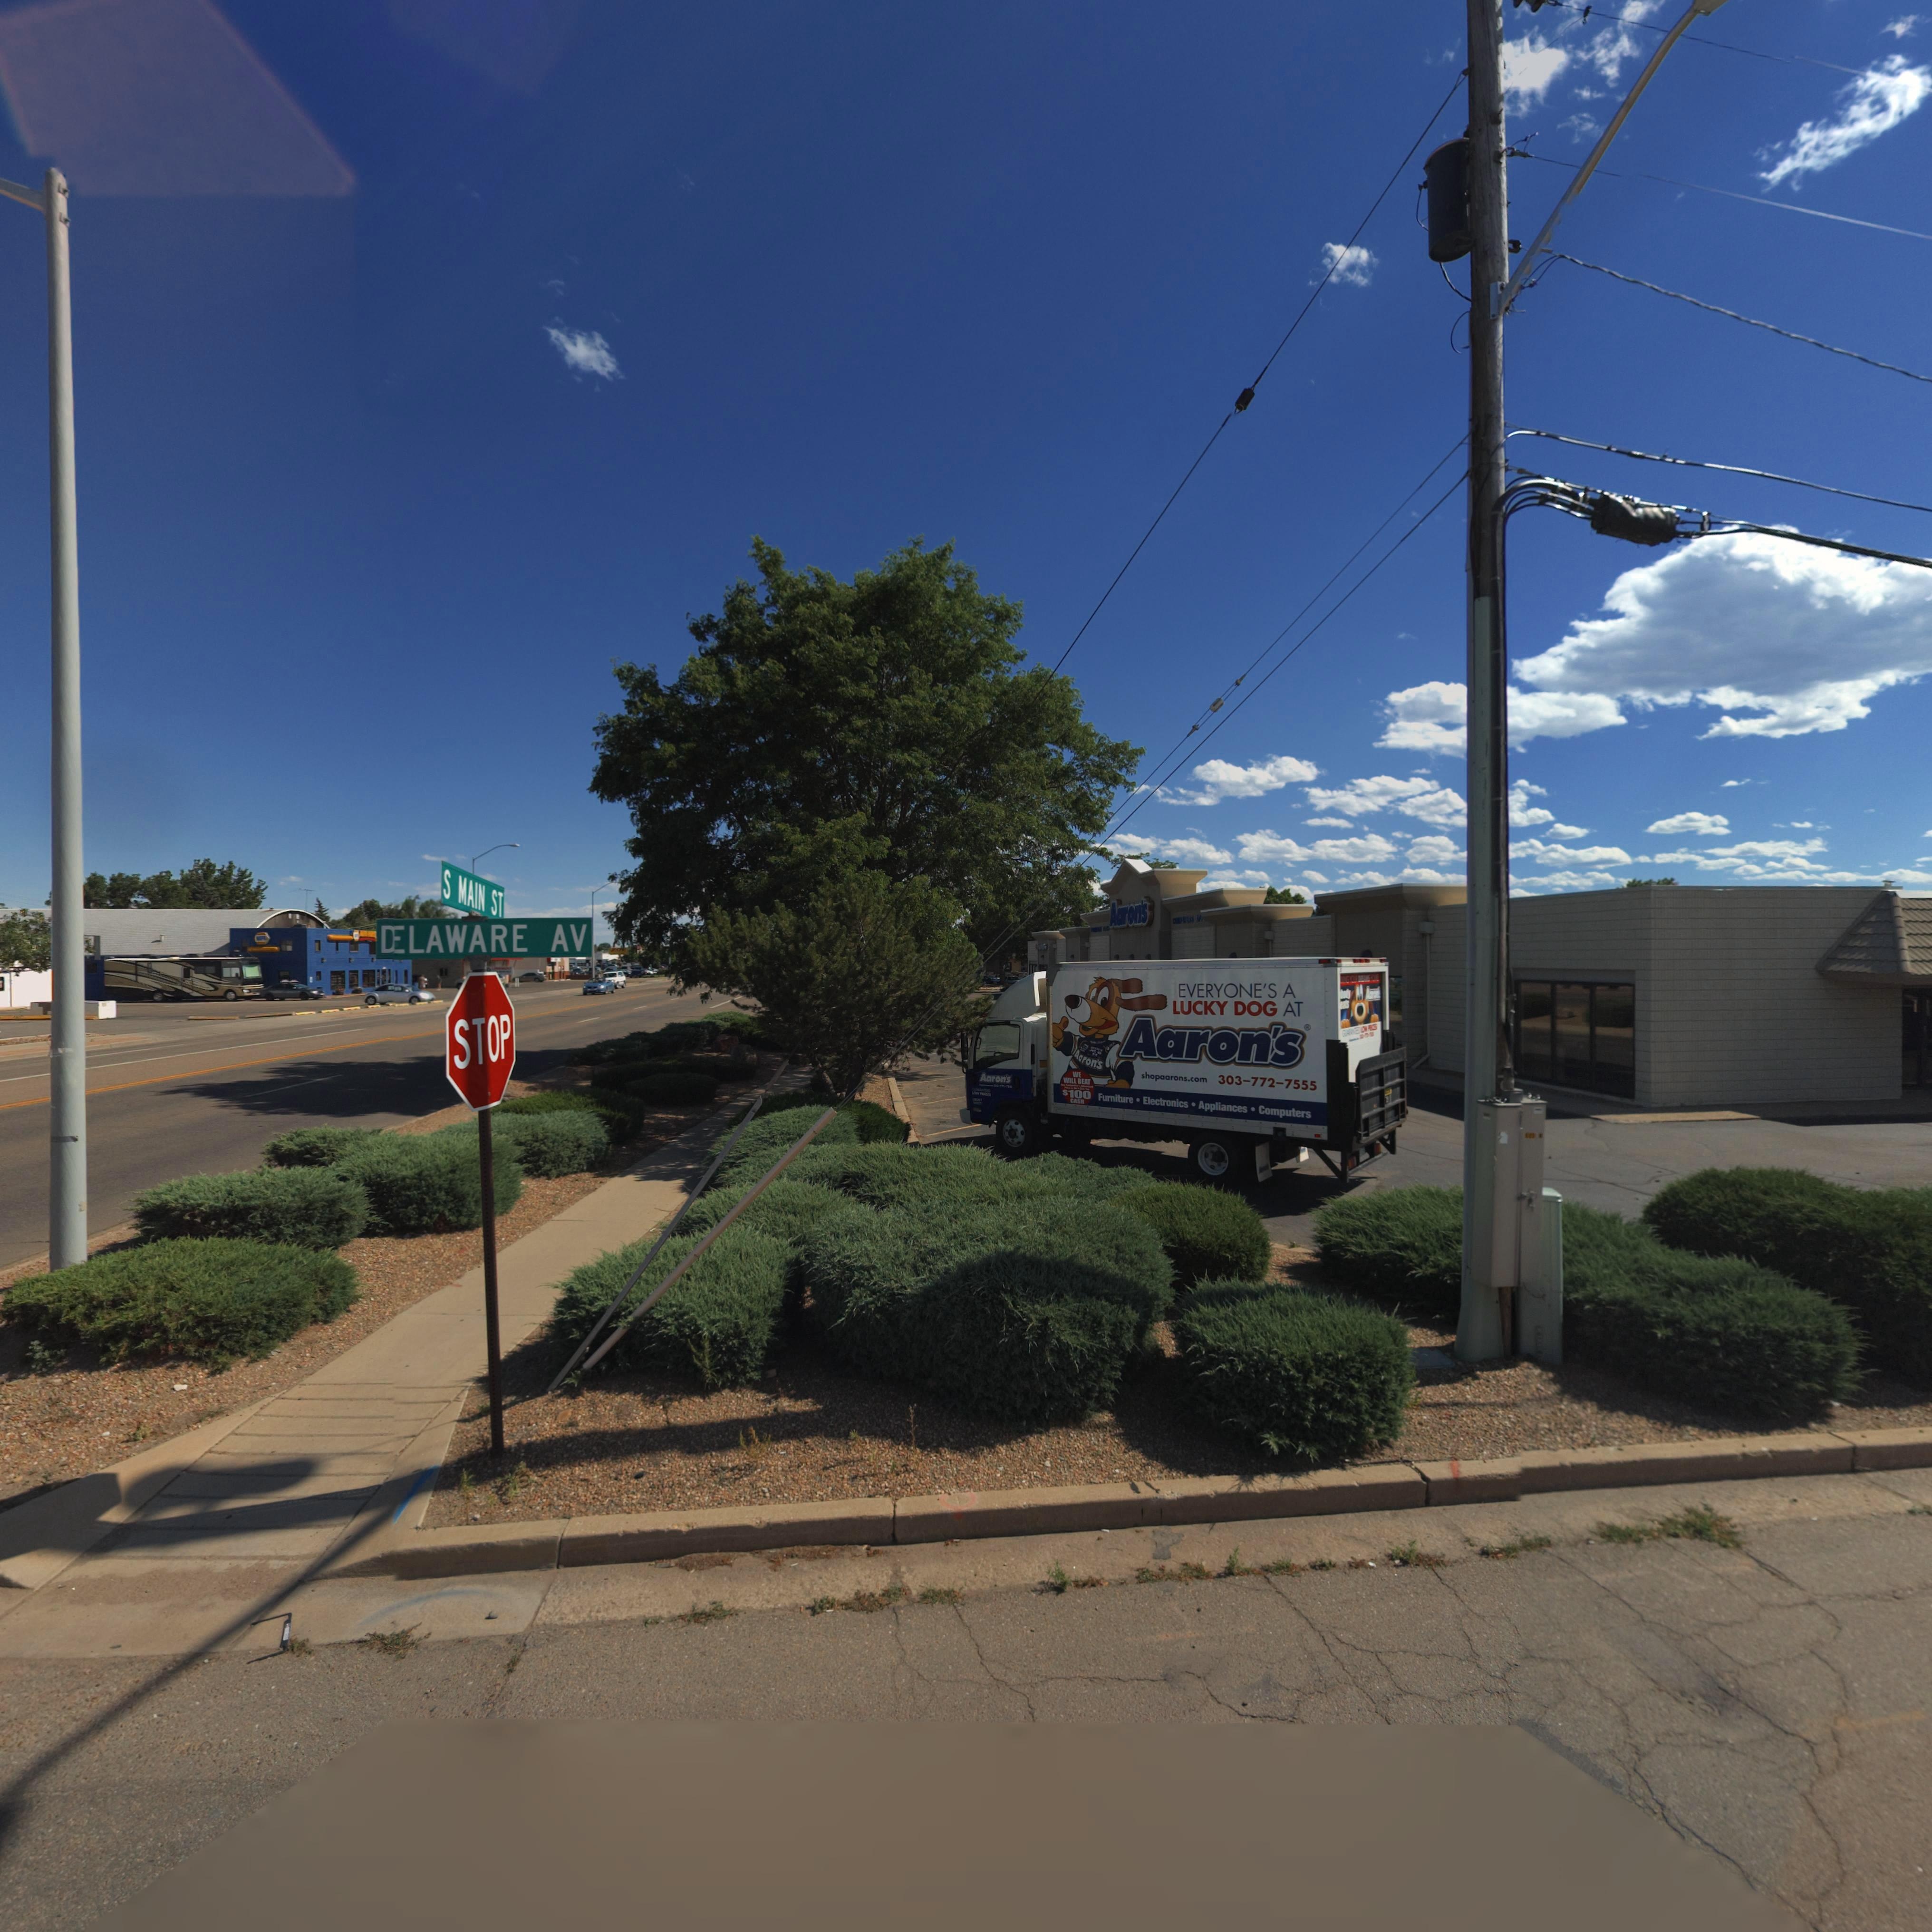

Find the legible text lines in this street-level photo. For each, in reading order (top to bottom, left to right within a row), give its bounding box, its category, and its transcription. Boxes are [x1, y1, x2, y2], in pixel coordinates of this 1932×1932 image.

[442, 869, 504, 918] StreetName: S MAIN ST
[1108, 899, 1148, 927] BusinessName: Aaron's
[380, 922, 589, 955] StreetName: D*LAWARE AV